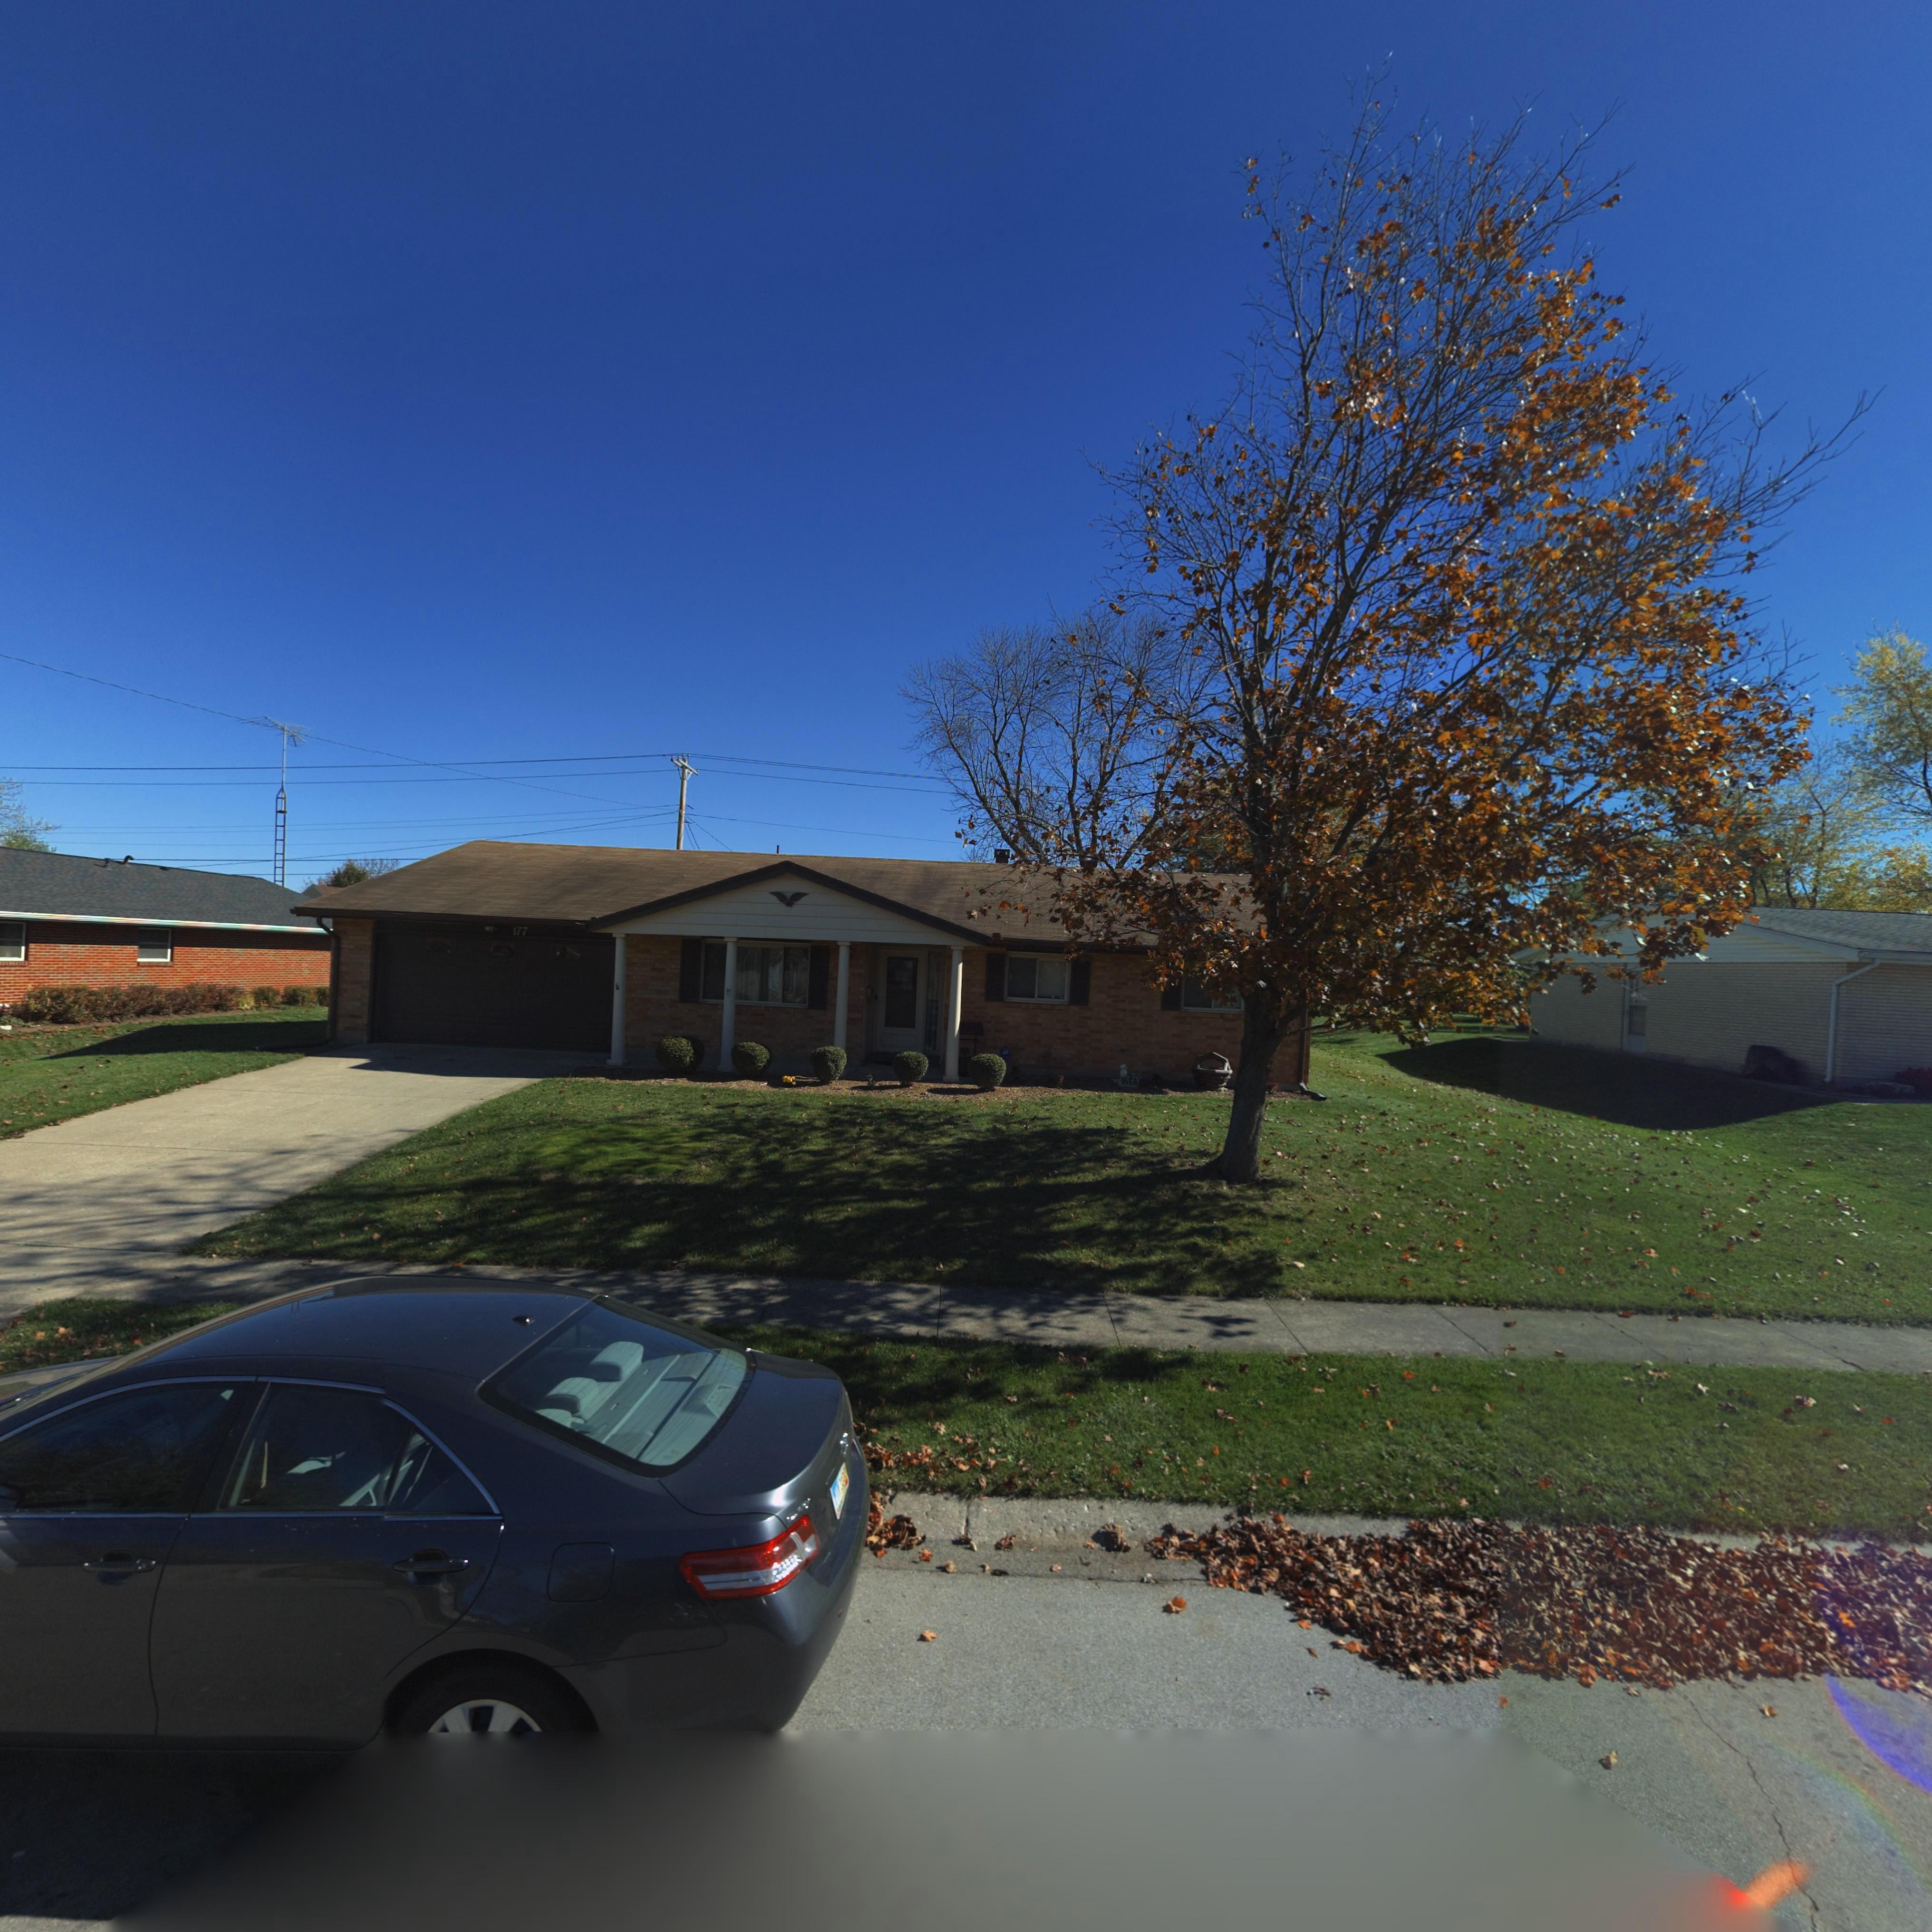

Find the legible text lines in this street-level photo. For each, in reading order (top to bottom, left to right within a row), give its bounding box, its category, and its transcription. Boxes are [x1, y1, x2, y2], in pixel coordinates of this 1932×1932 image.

[512, 926, 529, 937] StreetNumber: 177